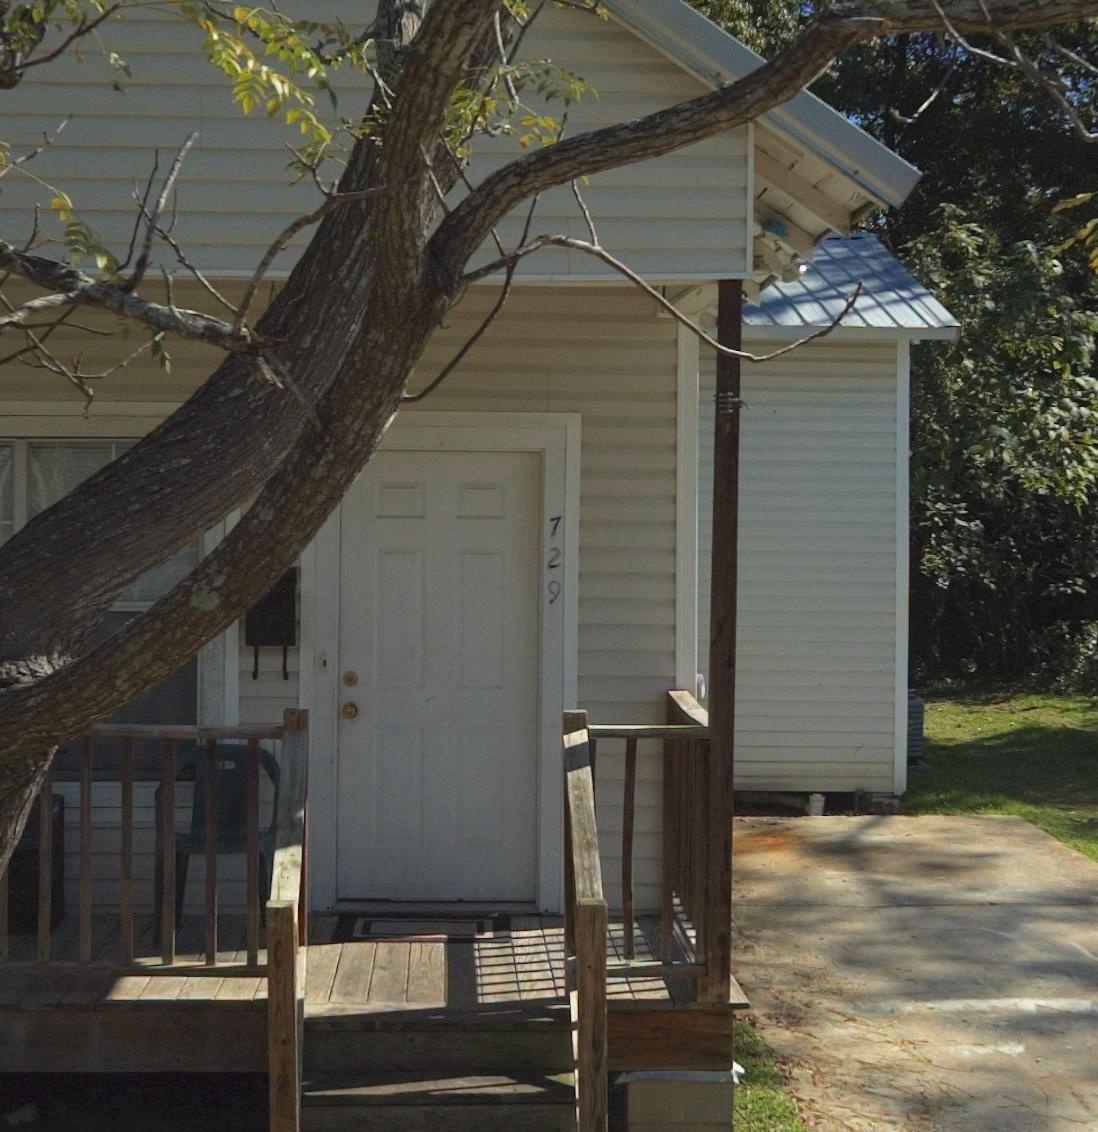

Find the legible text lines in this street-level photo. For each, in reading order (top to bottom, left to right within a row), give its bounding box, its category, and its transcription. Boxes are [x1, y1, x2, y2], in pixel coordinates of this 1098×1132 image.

[547, 513, 563, 607] StreetNumber: 729